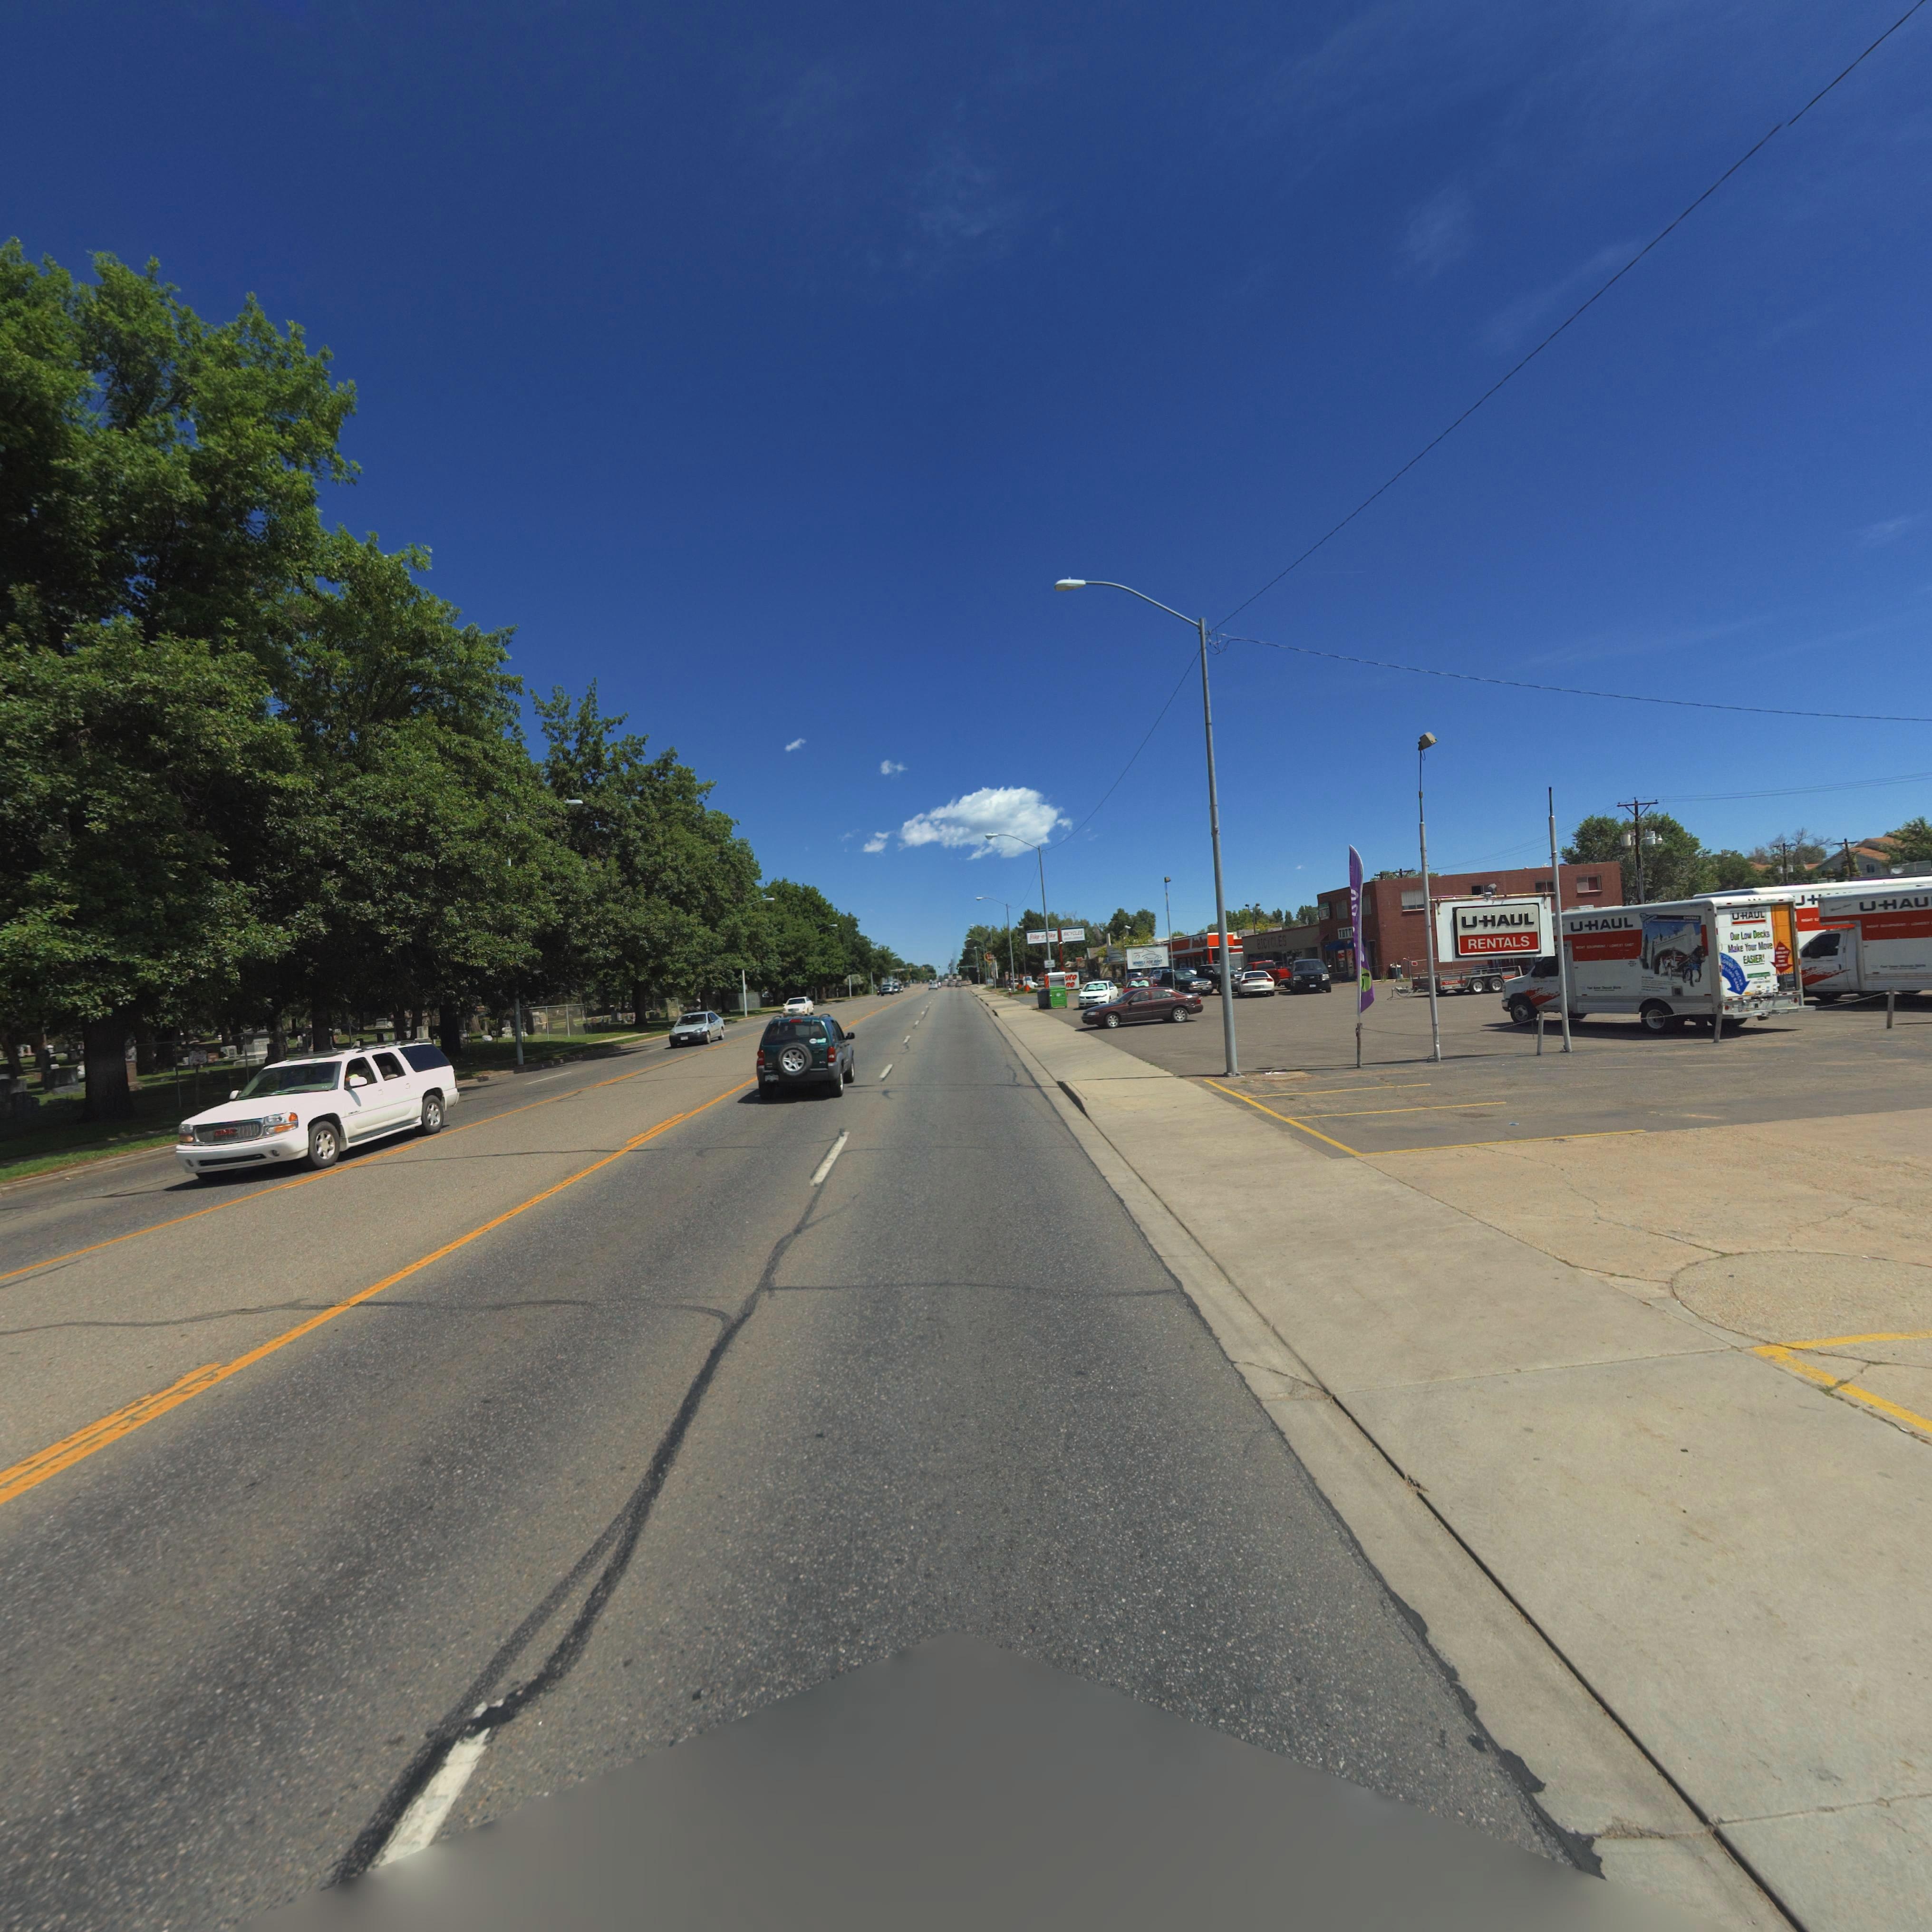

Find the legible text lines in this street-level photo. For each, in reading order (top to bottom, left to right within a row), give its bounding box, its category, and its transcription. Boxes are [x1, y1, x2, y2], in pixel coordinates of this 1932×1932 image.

[1461, 912, 1534, 928] BusinessName: U -HAUL
[1029, 932, 1055, 940] BusinessName: Bike-****ke
[1191, 935, 1208, 948] BusinessName: A***Z***
[1468, 935, 1530, 949] BusinessName: RENTALS
[1742, 954, 1763, 964] None: `*
[1065, 974, 1077, 980] BusinessName: *to
[1065, 982, 1075, 987] BusinessName: *e